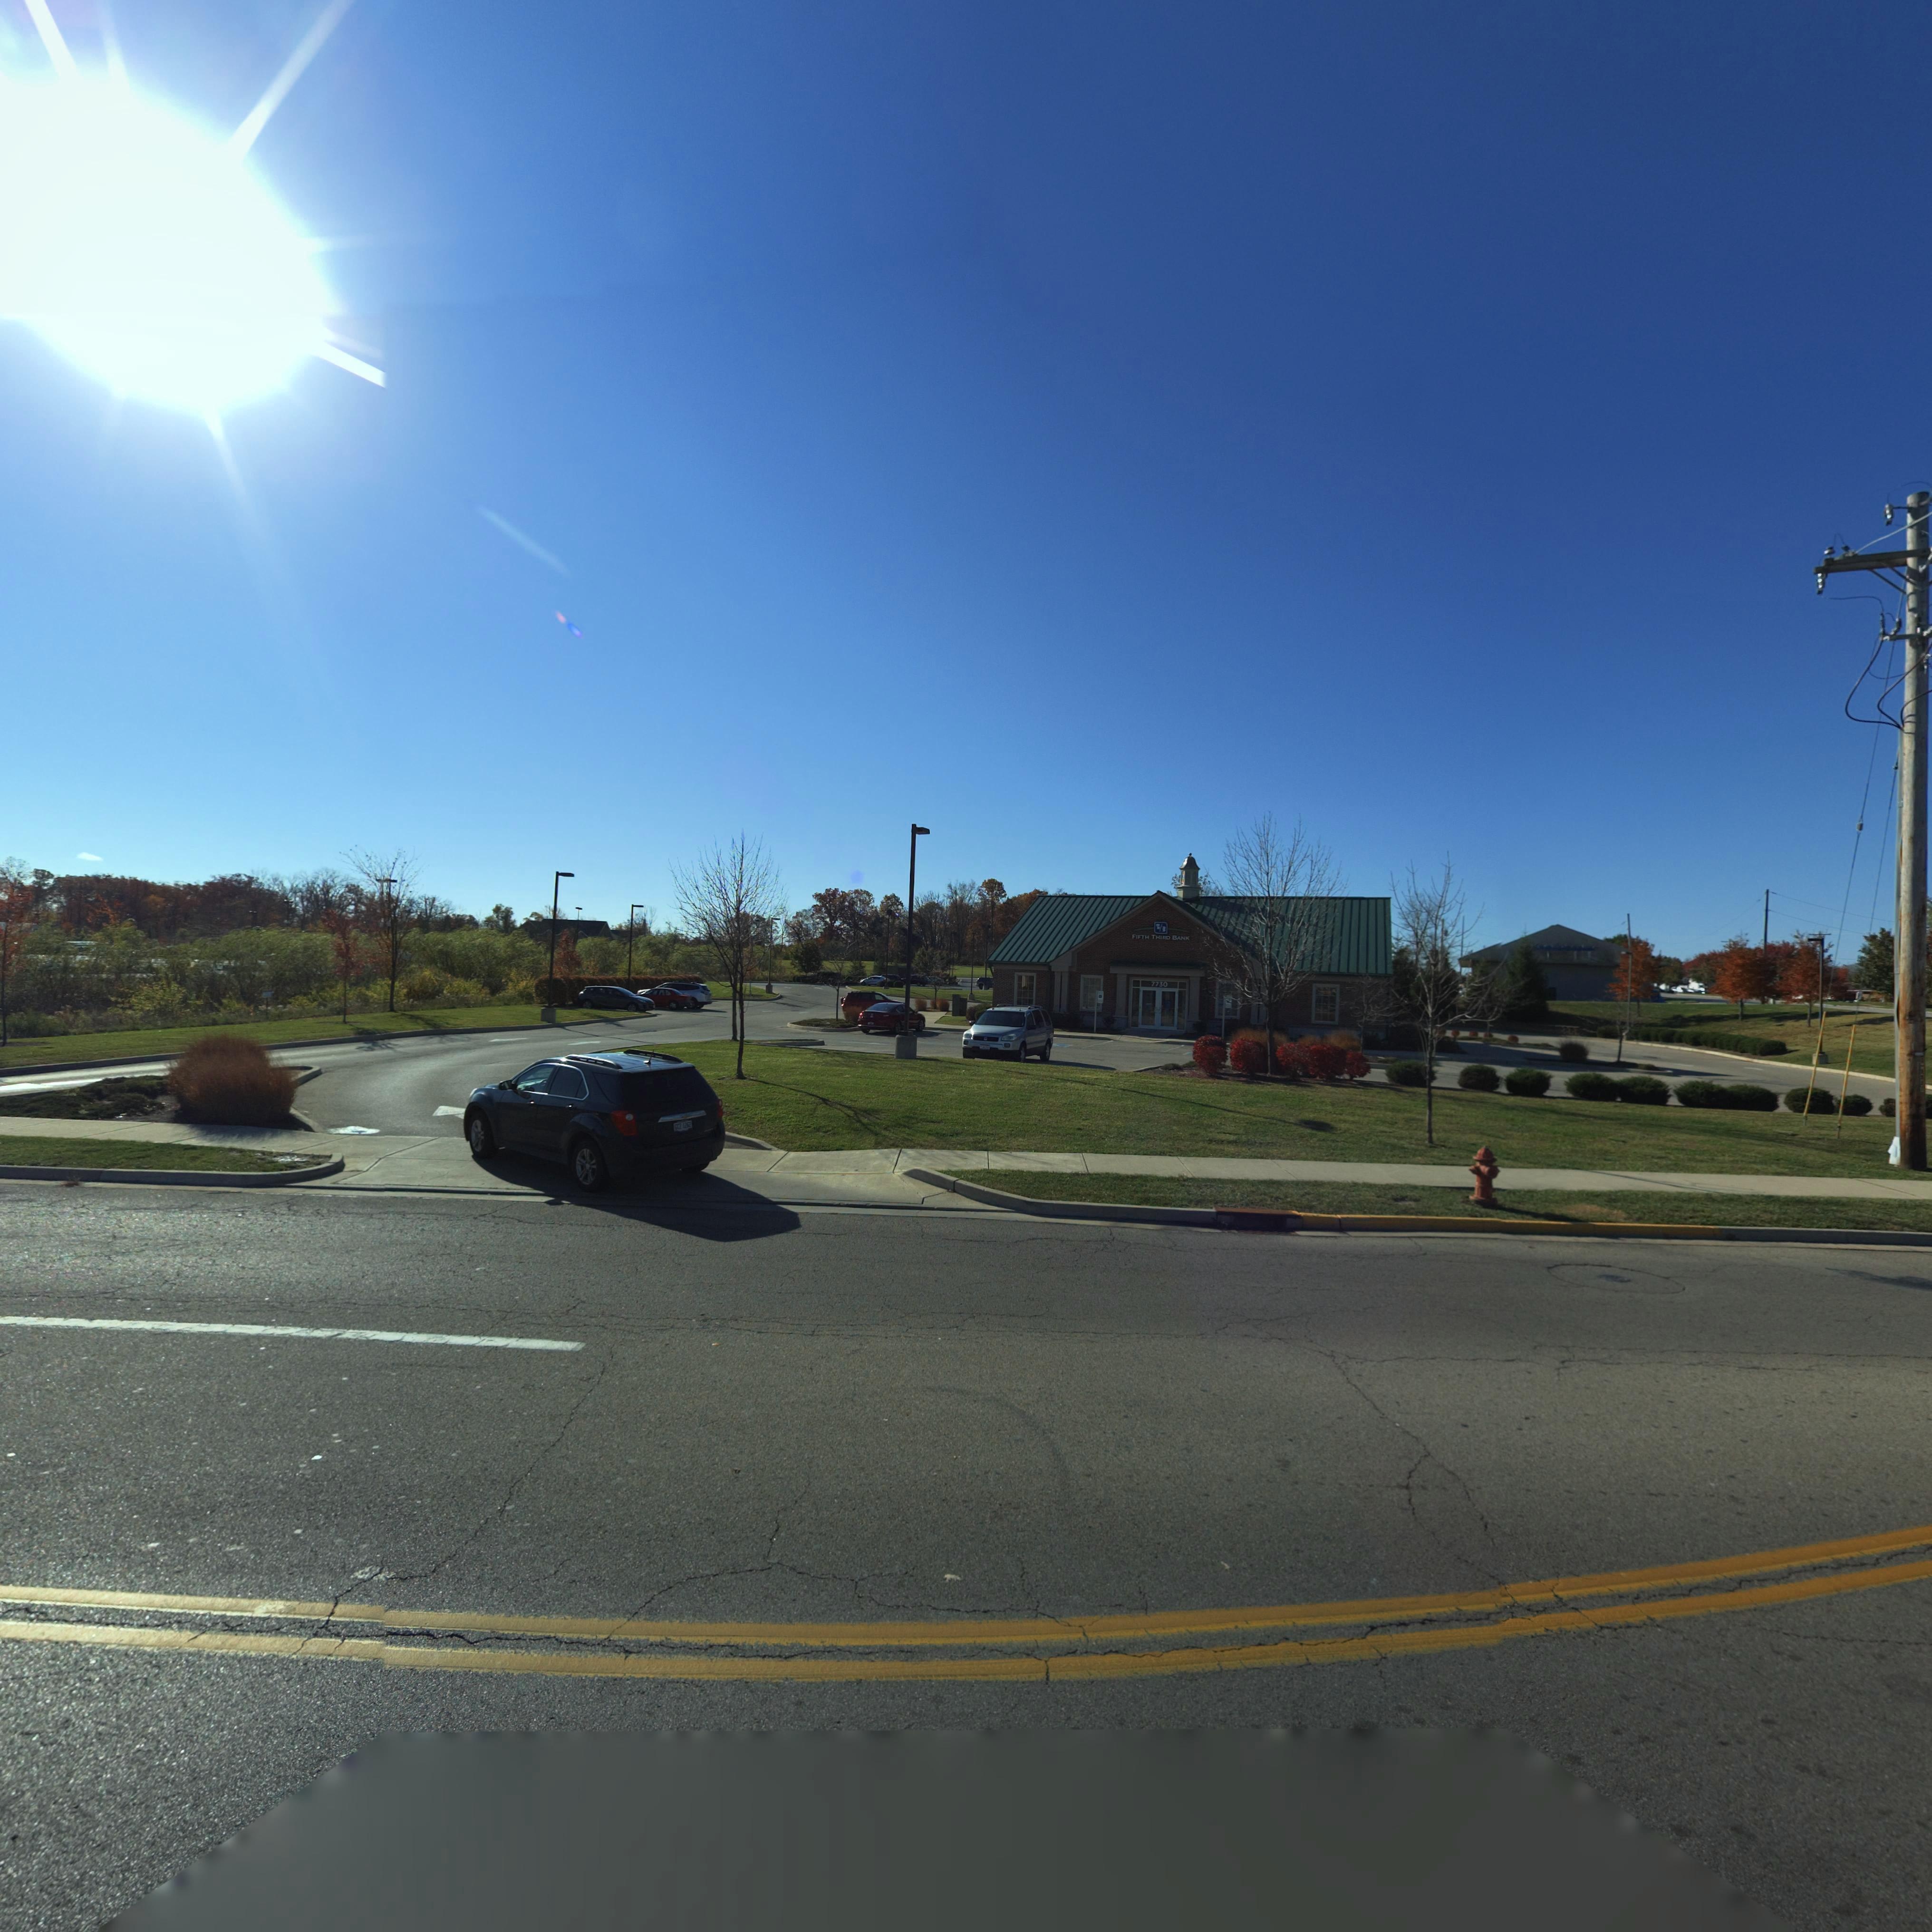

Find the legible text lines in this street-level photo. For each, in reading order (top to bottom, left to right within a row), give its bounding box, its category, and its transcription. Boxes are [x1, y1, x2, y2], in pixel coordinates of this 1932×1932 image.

[1150, 981, 1169, 987] StreetNumber: 7730